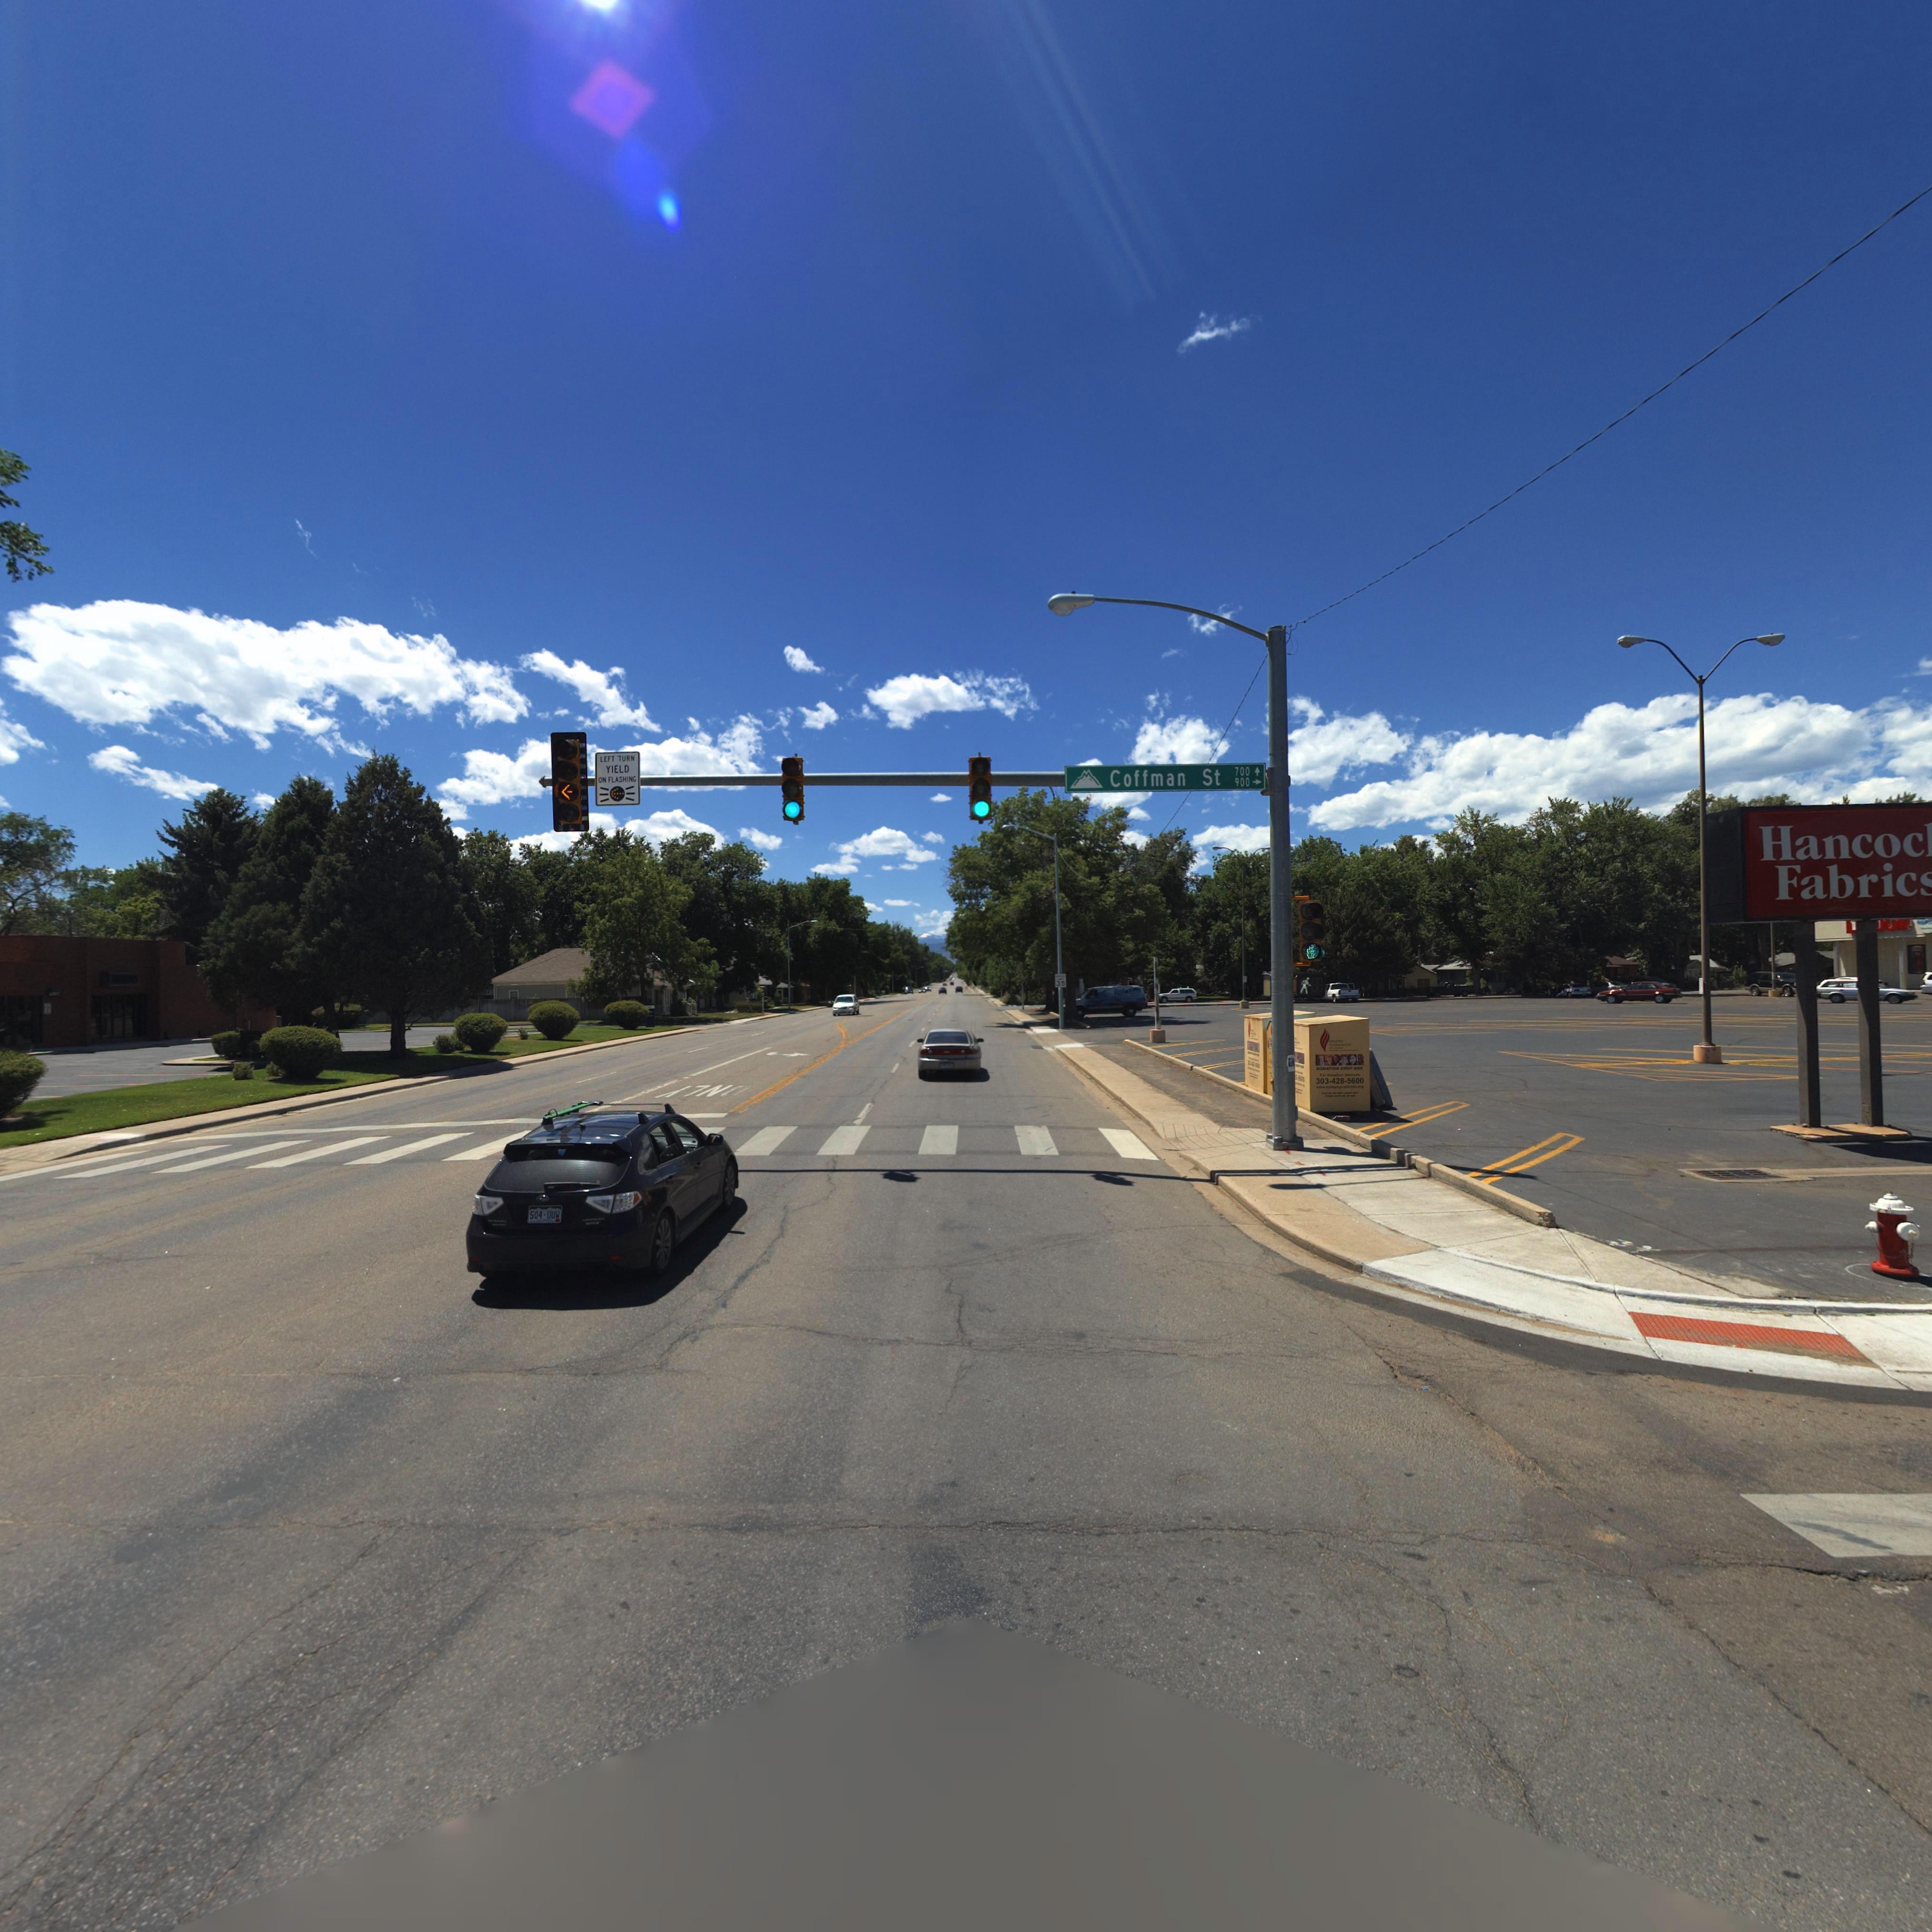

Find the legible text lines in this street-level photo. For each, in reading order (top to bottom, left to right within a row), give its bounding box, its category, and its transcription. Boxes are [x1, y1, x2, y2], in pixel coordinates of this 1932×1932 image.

[1109, 767, 1221, 788] StreetName: Coffman St
[1234, 766, 1250, 776] StreetNumberRange: 700
[1234, 777, 1263, 786] StreetNumberRange: 900 ->
[1759, 823, 1926, 861] BusinessName: Hancoc
[1774, 860, 1918, 901] BusinessName: Fabric